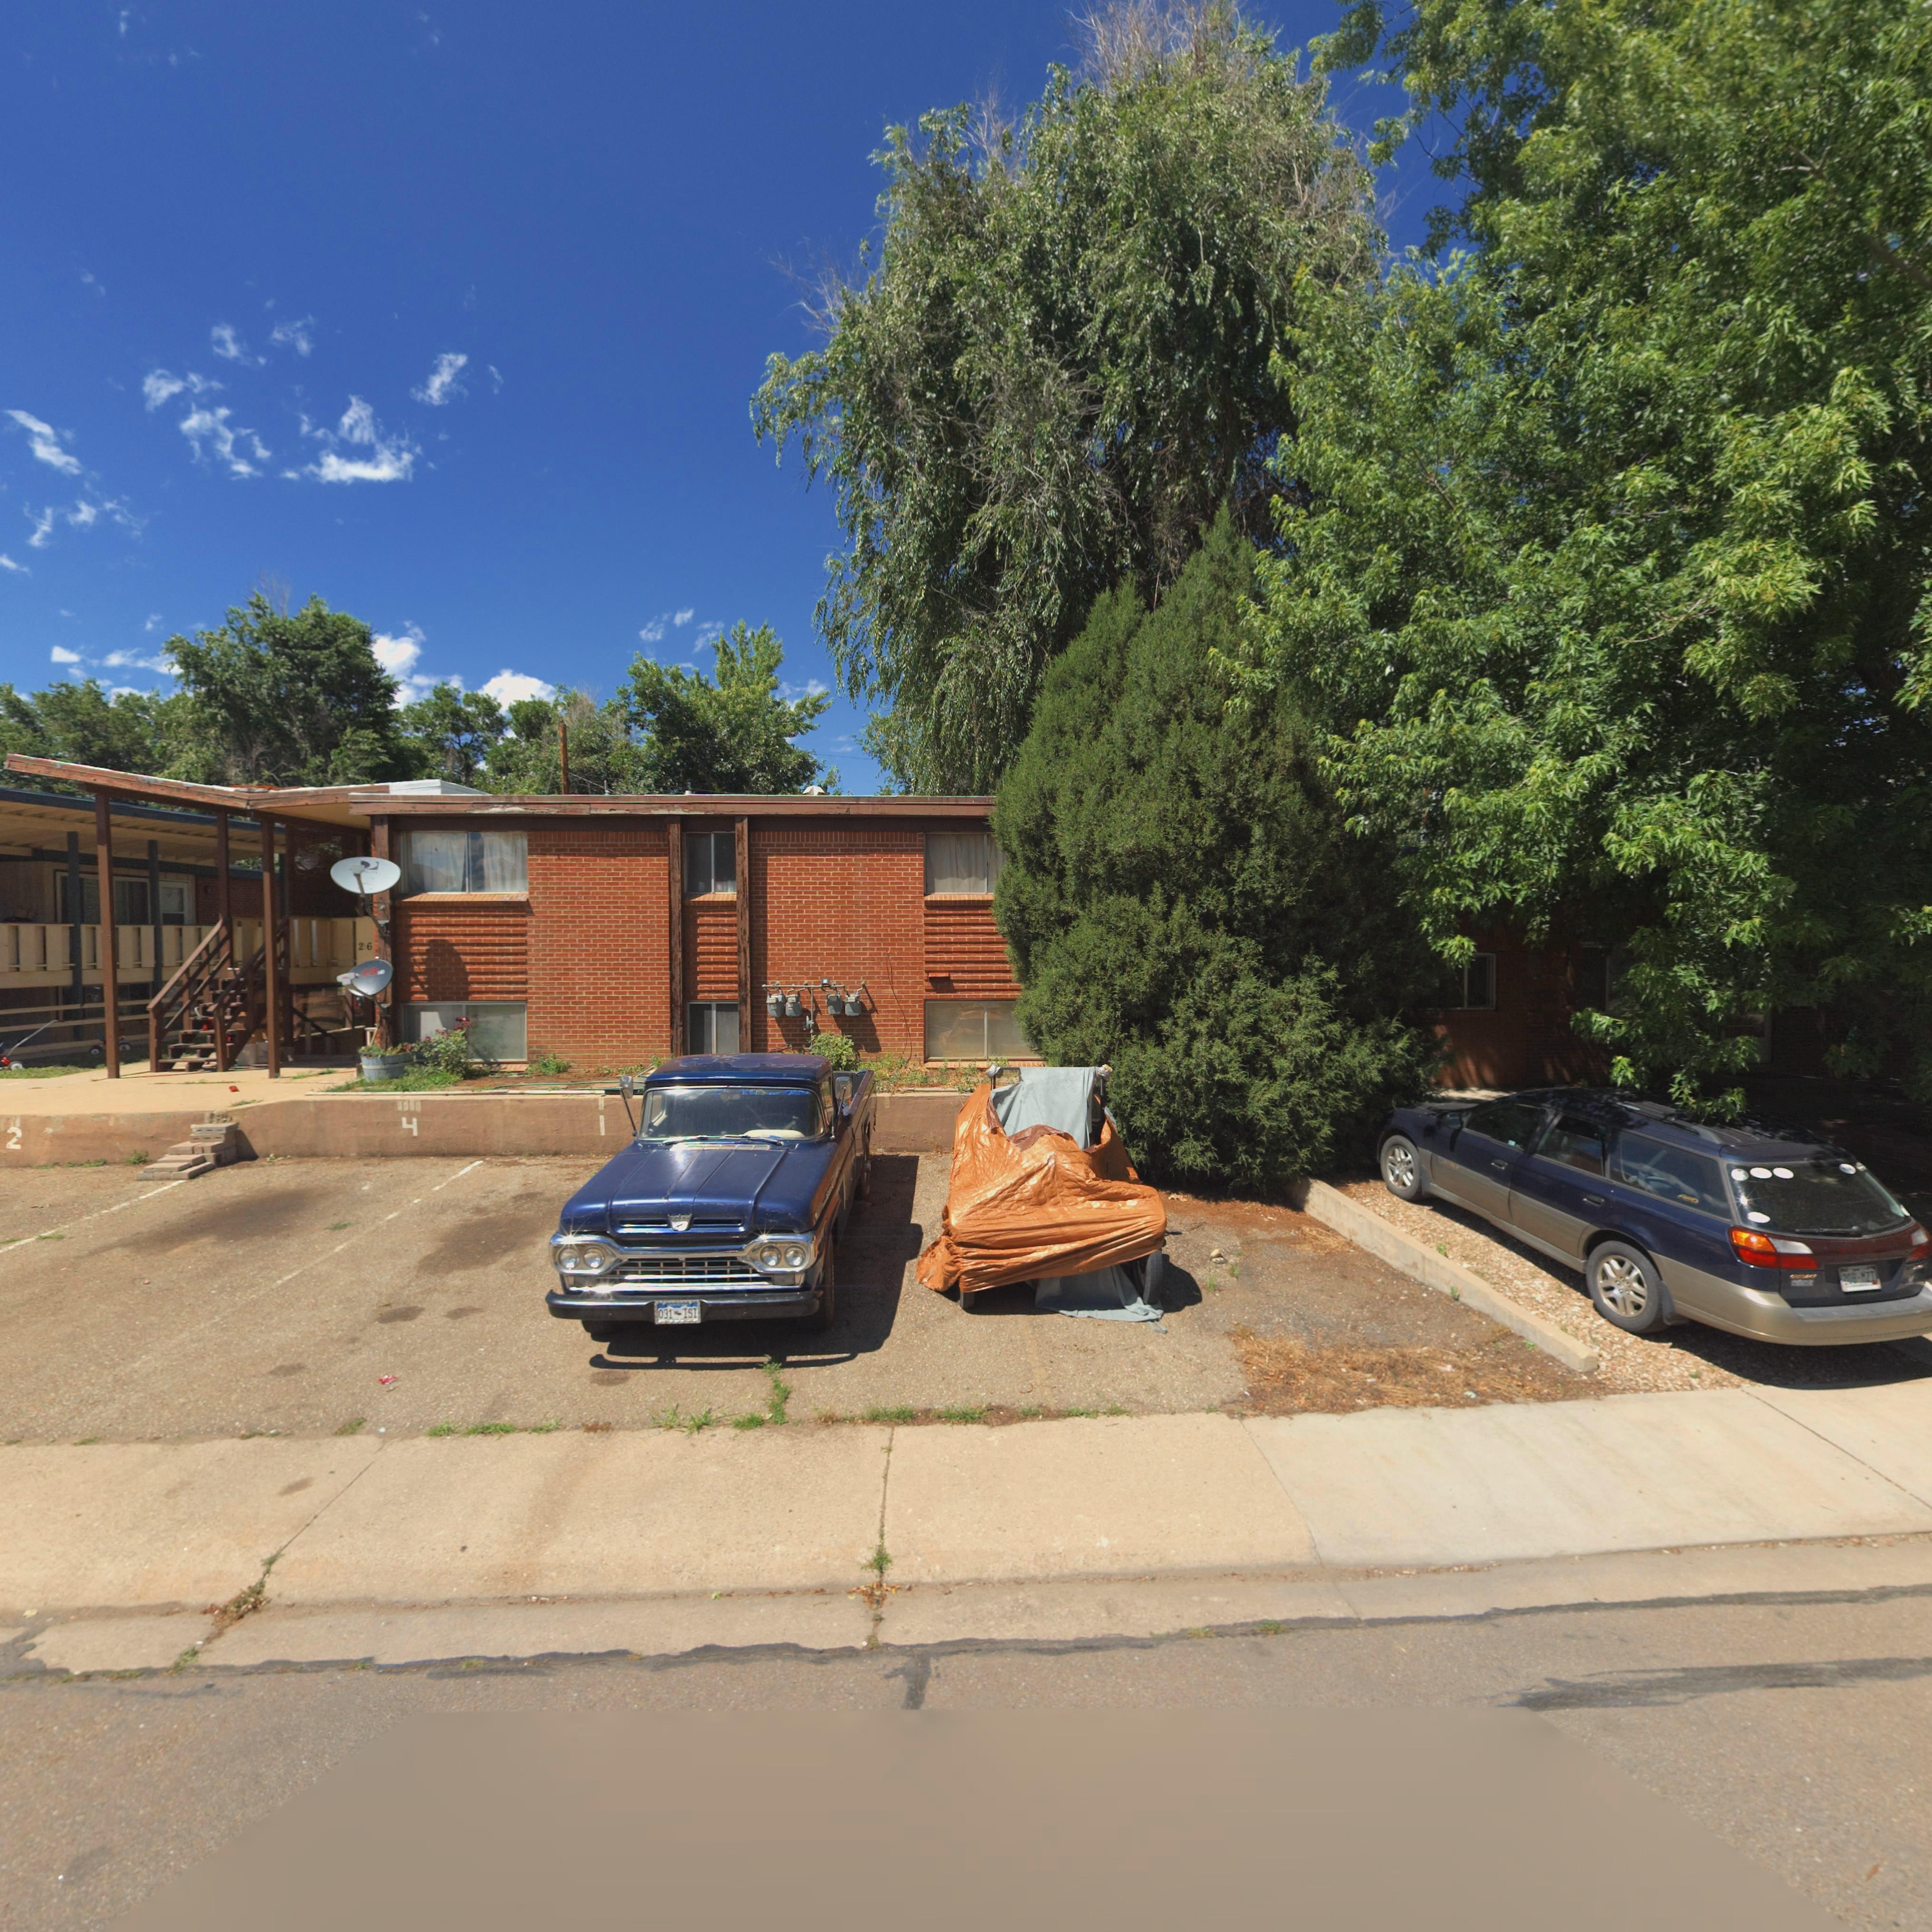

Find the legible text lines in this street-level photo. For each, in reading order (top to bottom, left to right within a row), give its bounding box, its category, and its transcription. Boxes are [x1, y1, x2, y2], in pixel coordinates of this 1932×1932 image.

[358, 942, 372, 950] StreetNumber: 26